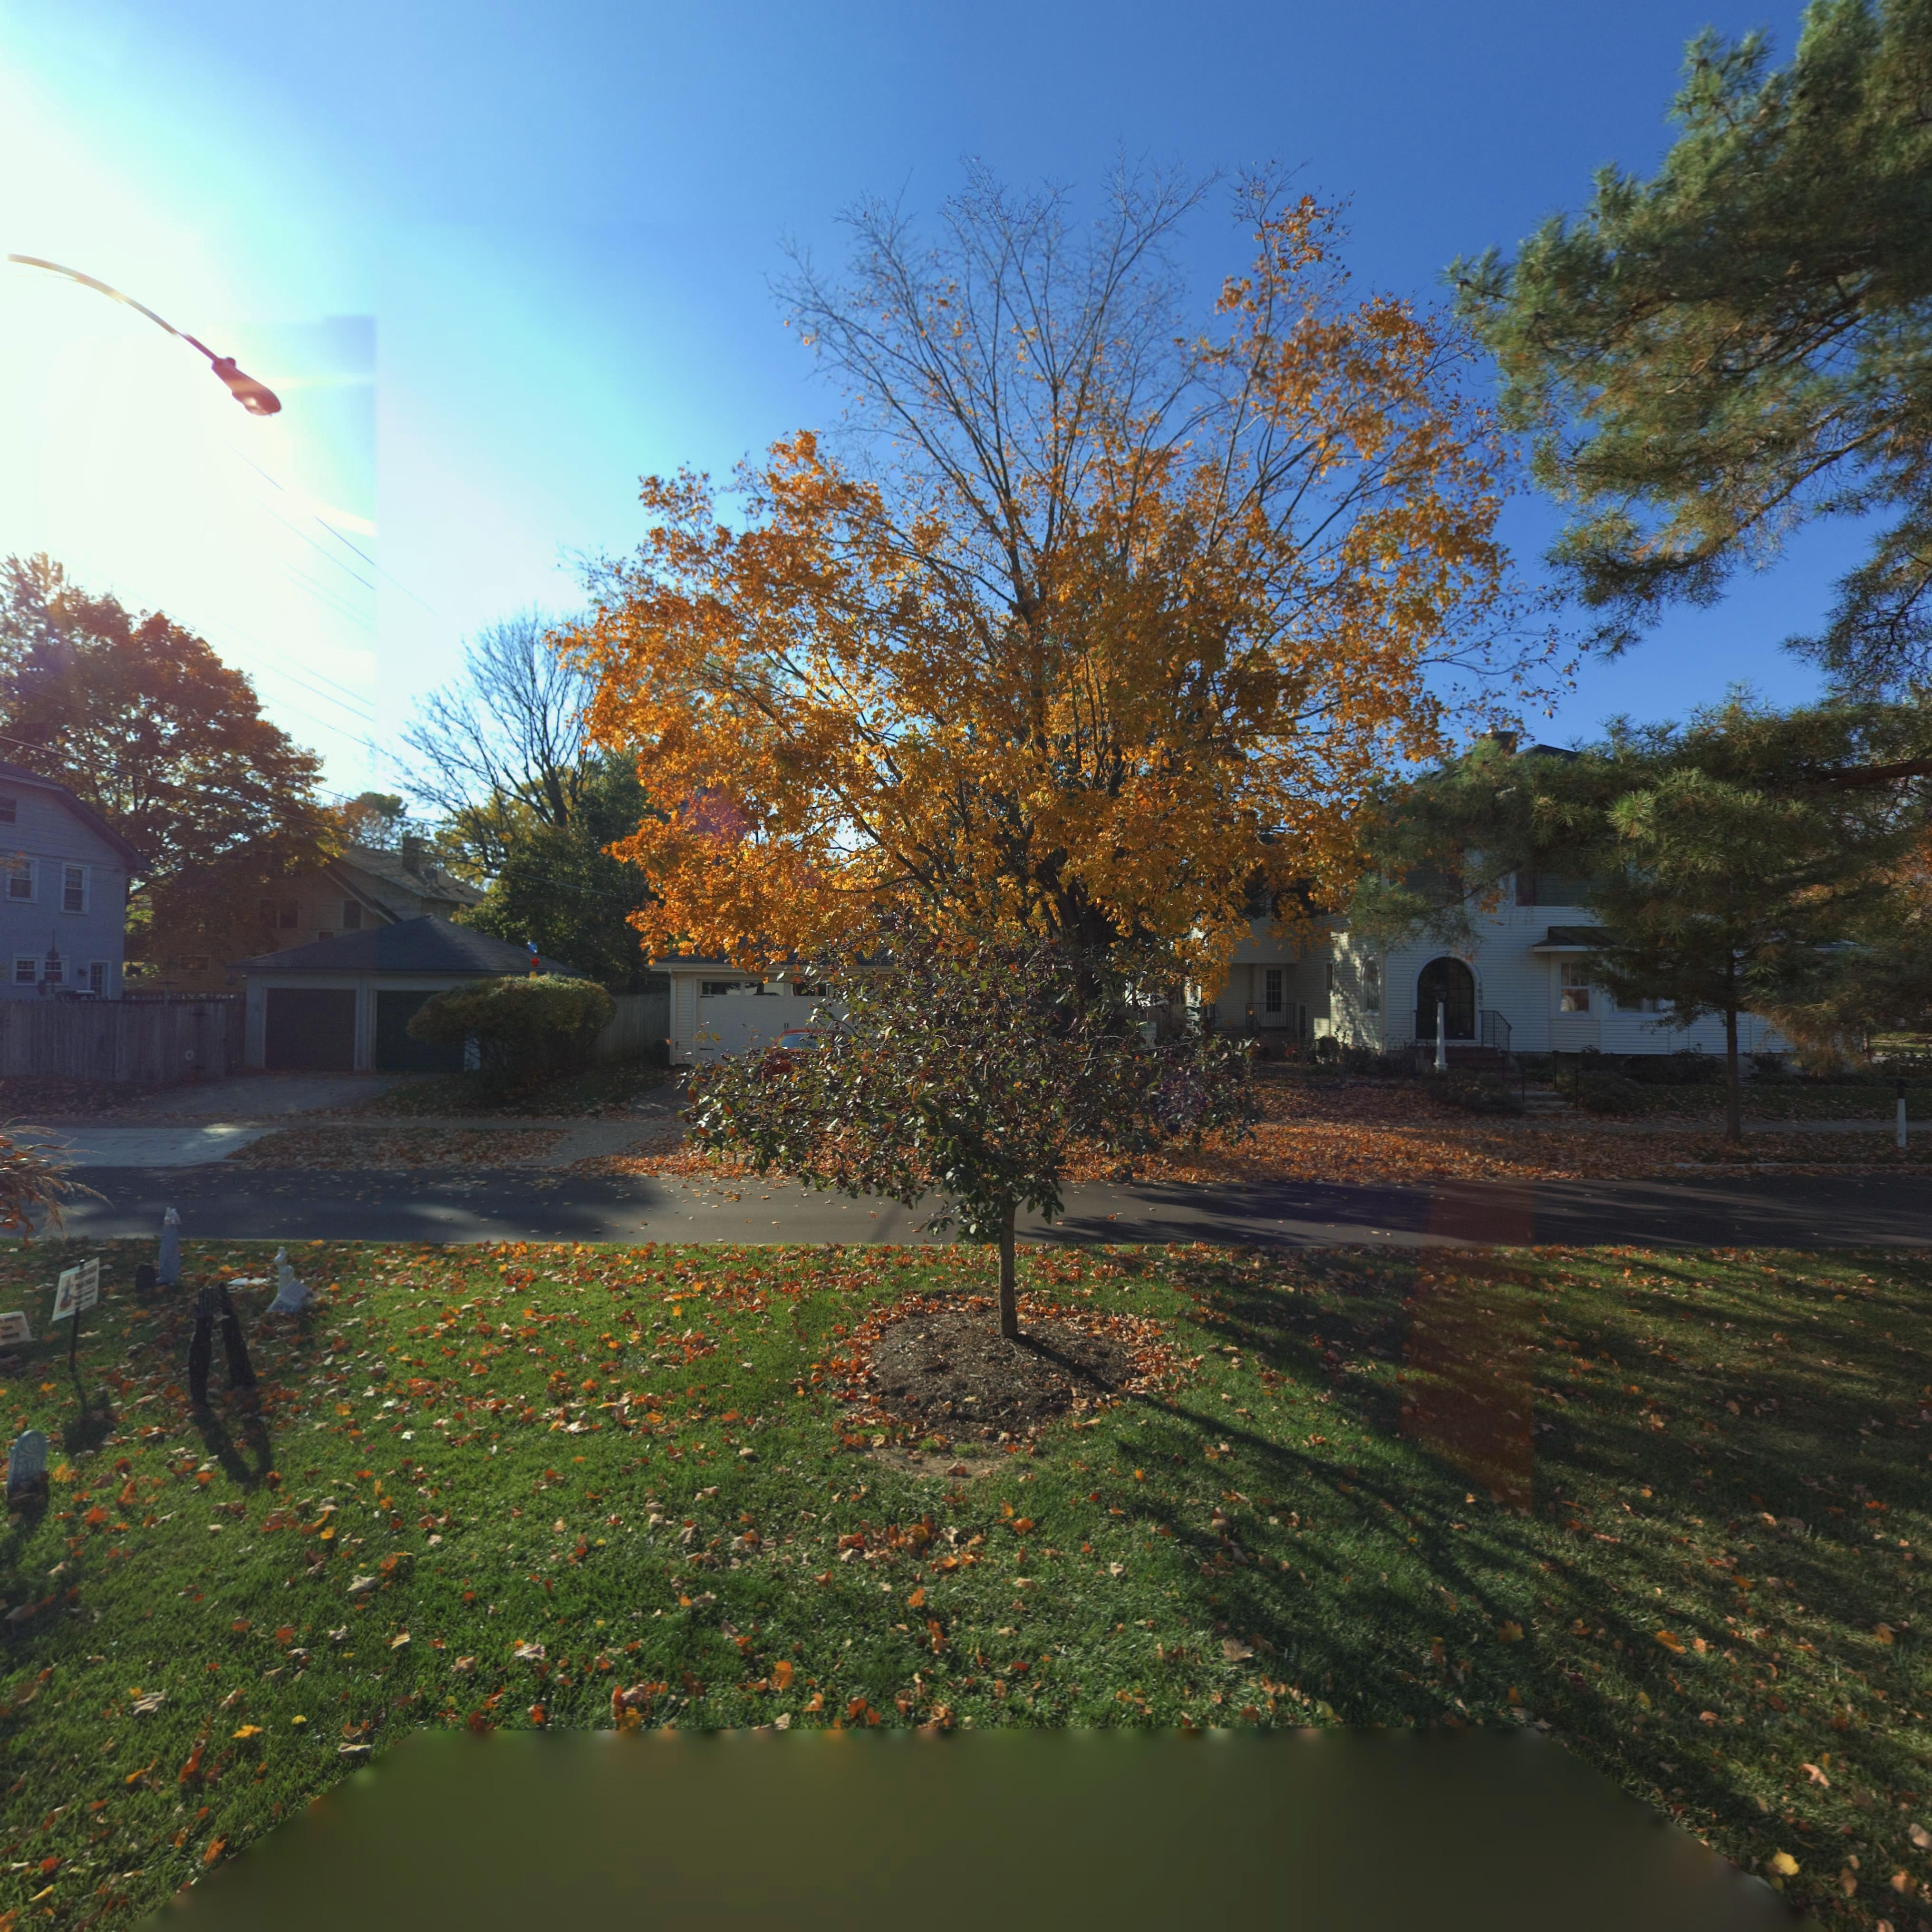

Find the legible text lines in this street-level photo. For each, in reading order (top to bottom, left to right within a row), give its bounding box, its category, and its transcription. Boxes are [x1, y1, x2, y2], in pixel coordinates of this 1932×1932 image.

[1477, 981, 1483, 1008] StreetNumber: 1601